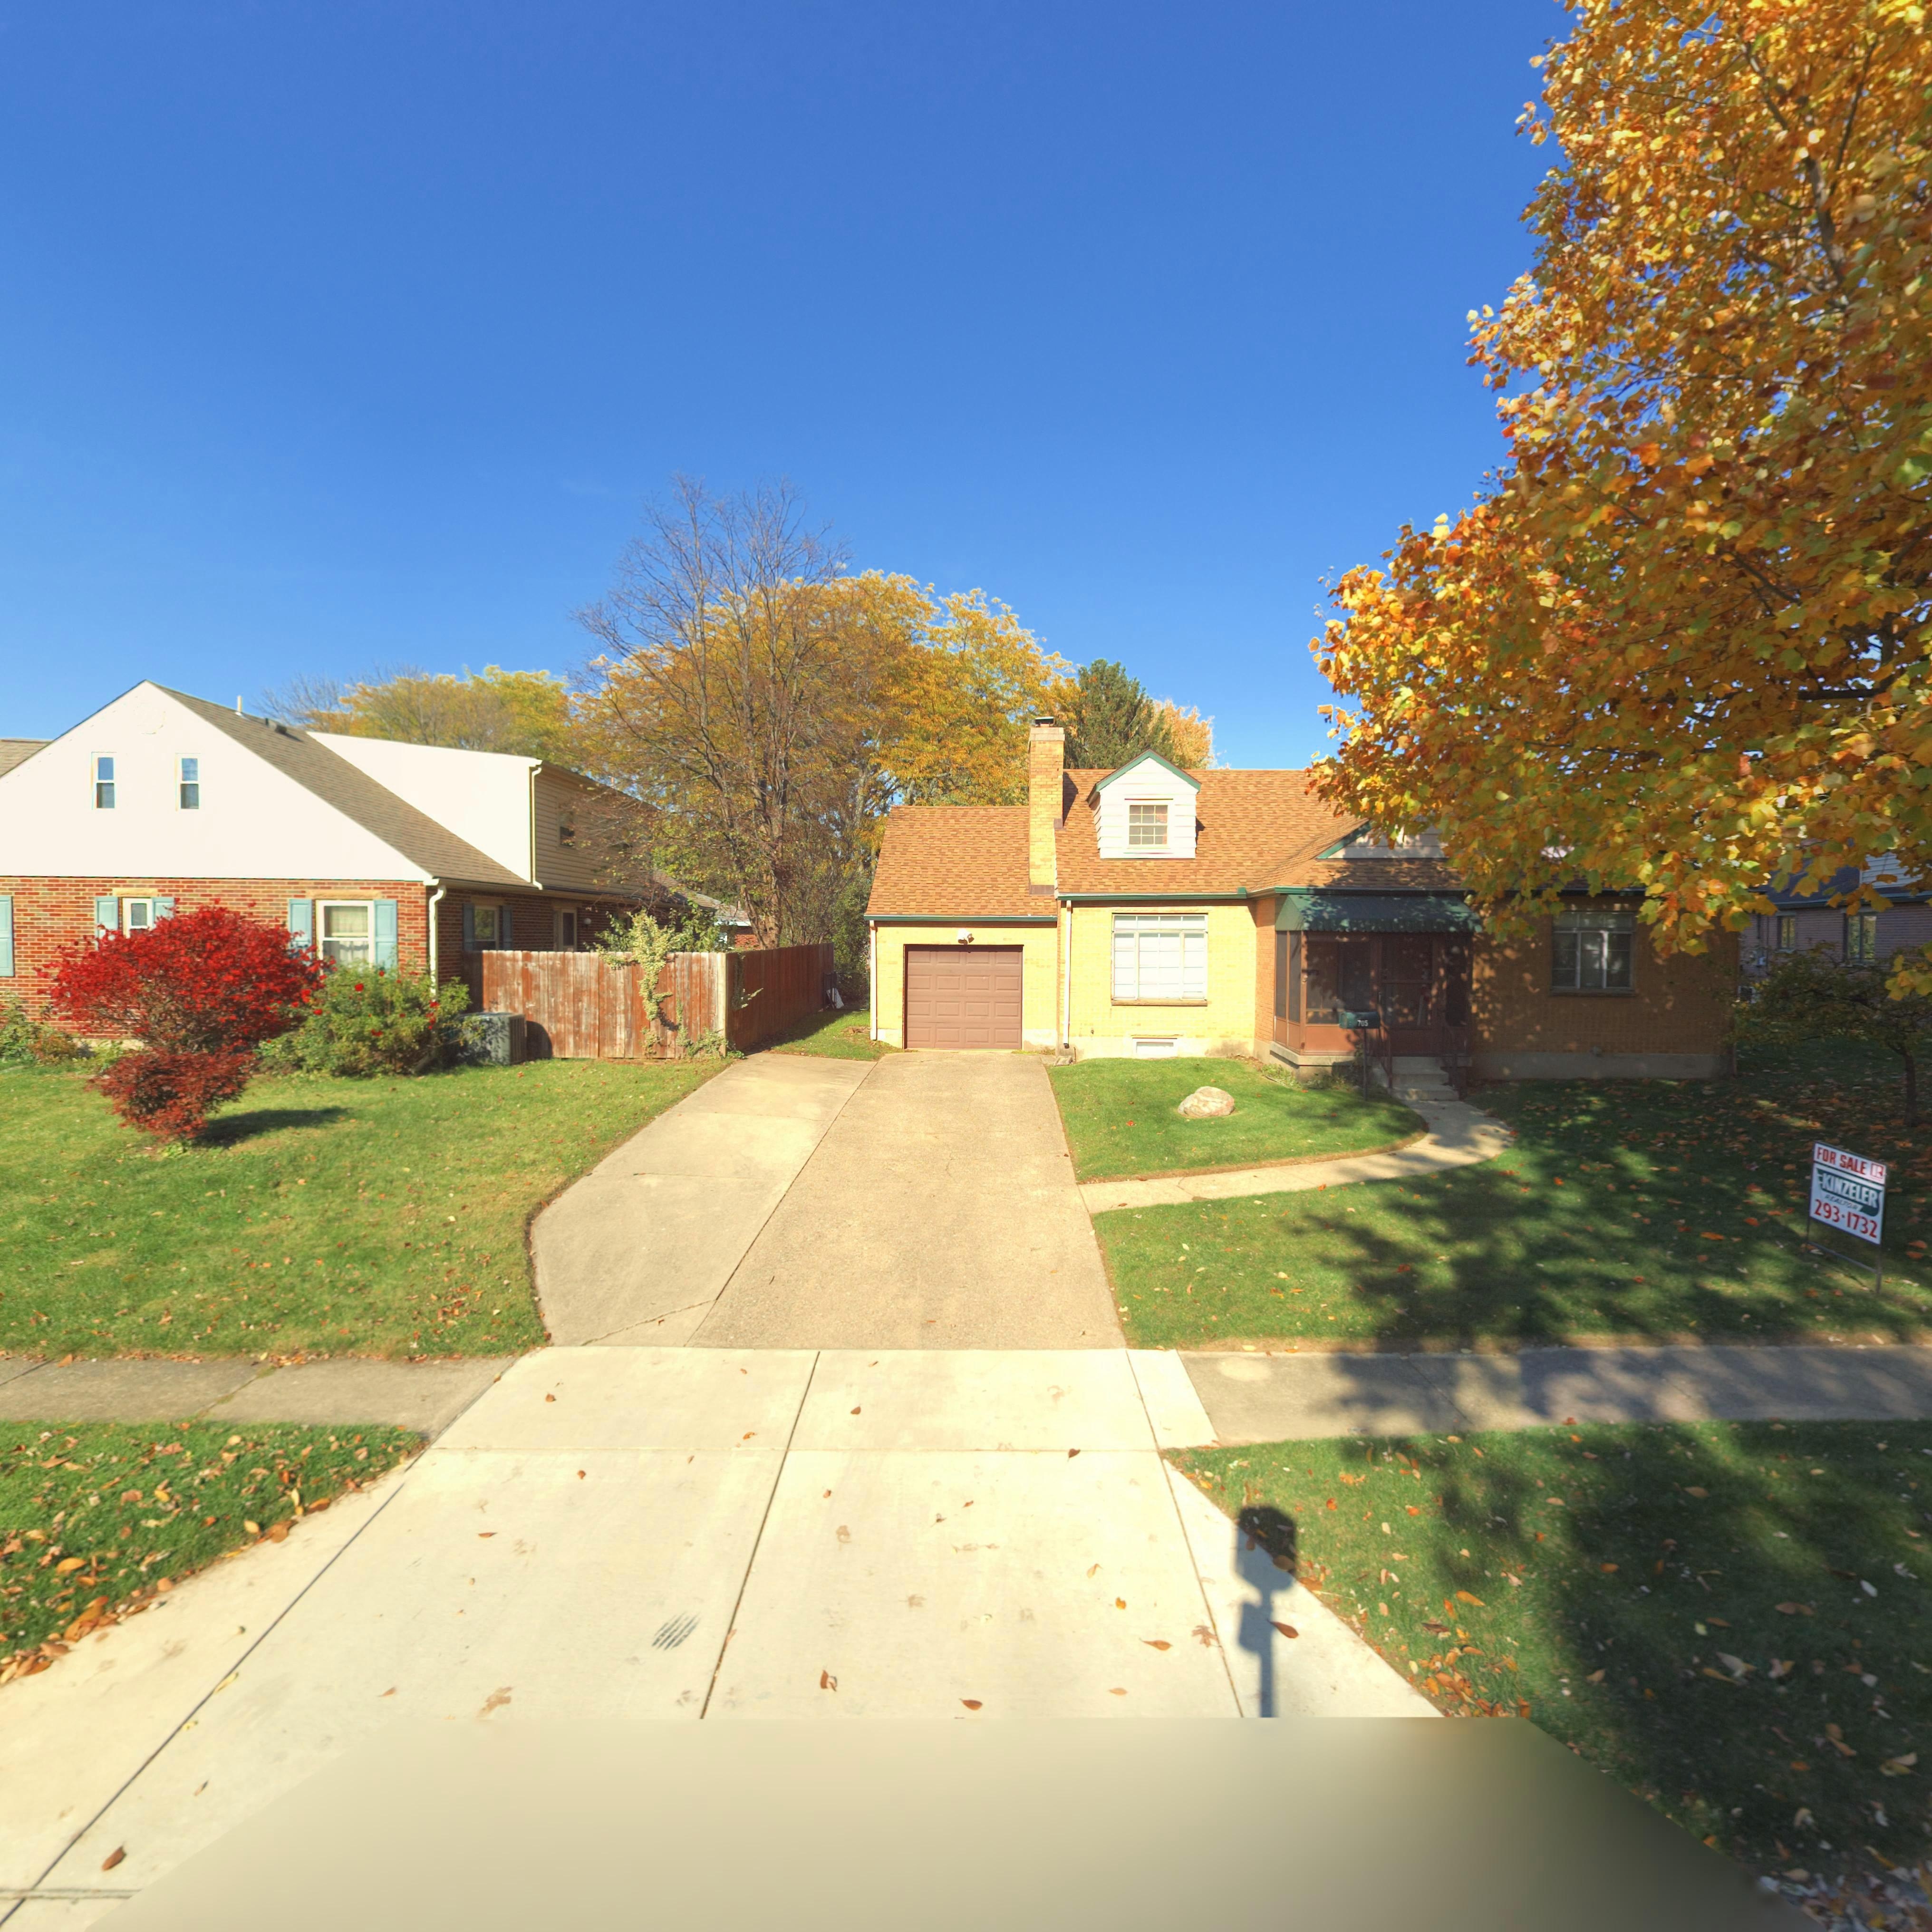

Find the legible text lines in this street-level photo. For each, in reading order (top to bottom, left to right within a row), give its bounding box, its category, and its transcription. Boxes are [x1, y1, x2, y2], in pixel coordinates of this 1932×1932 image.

[1357, 1019, 1369, 1027] StreetNumber: 705